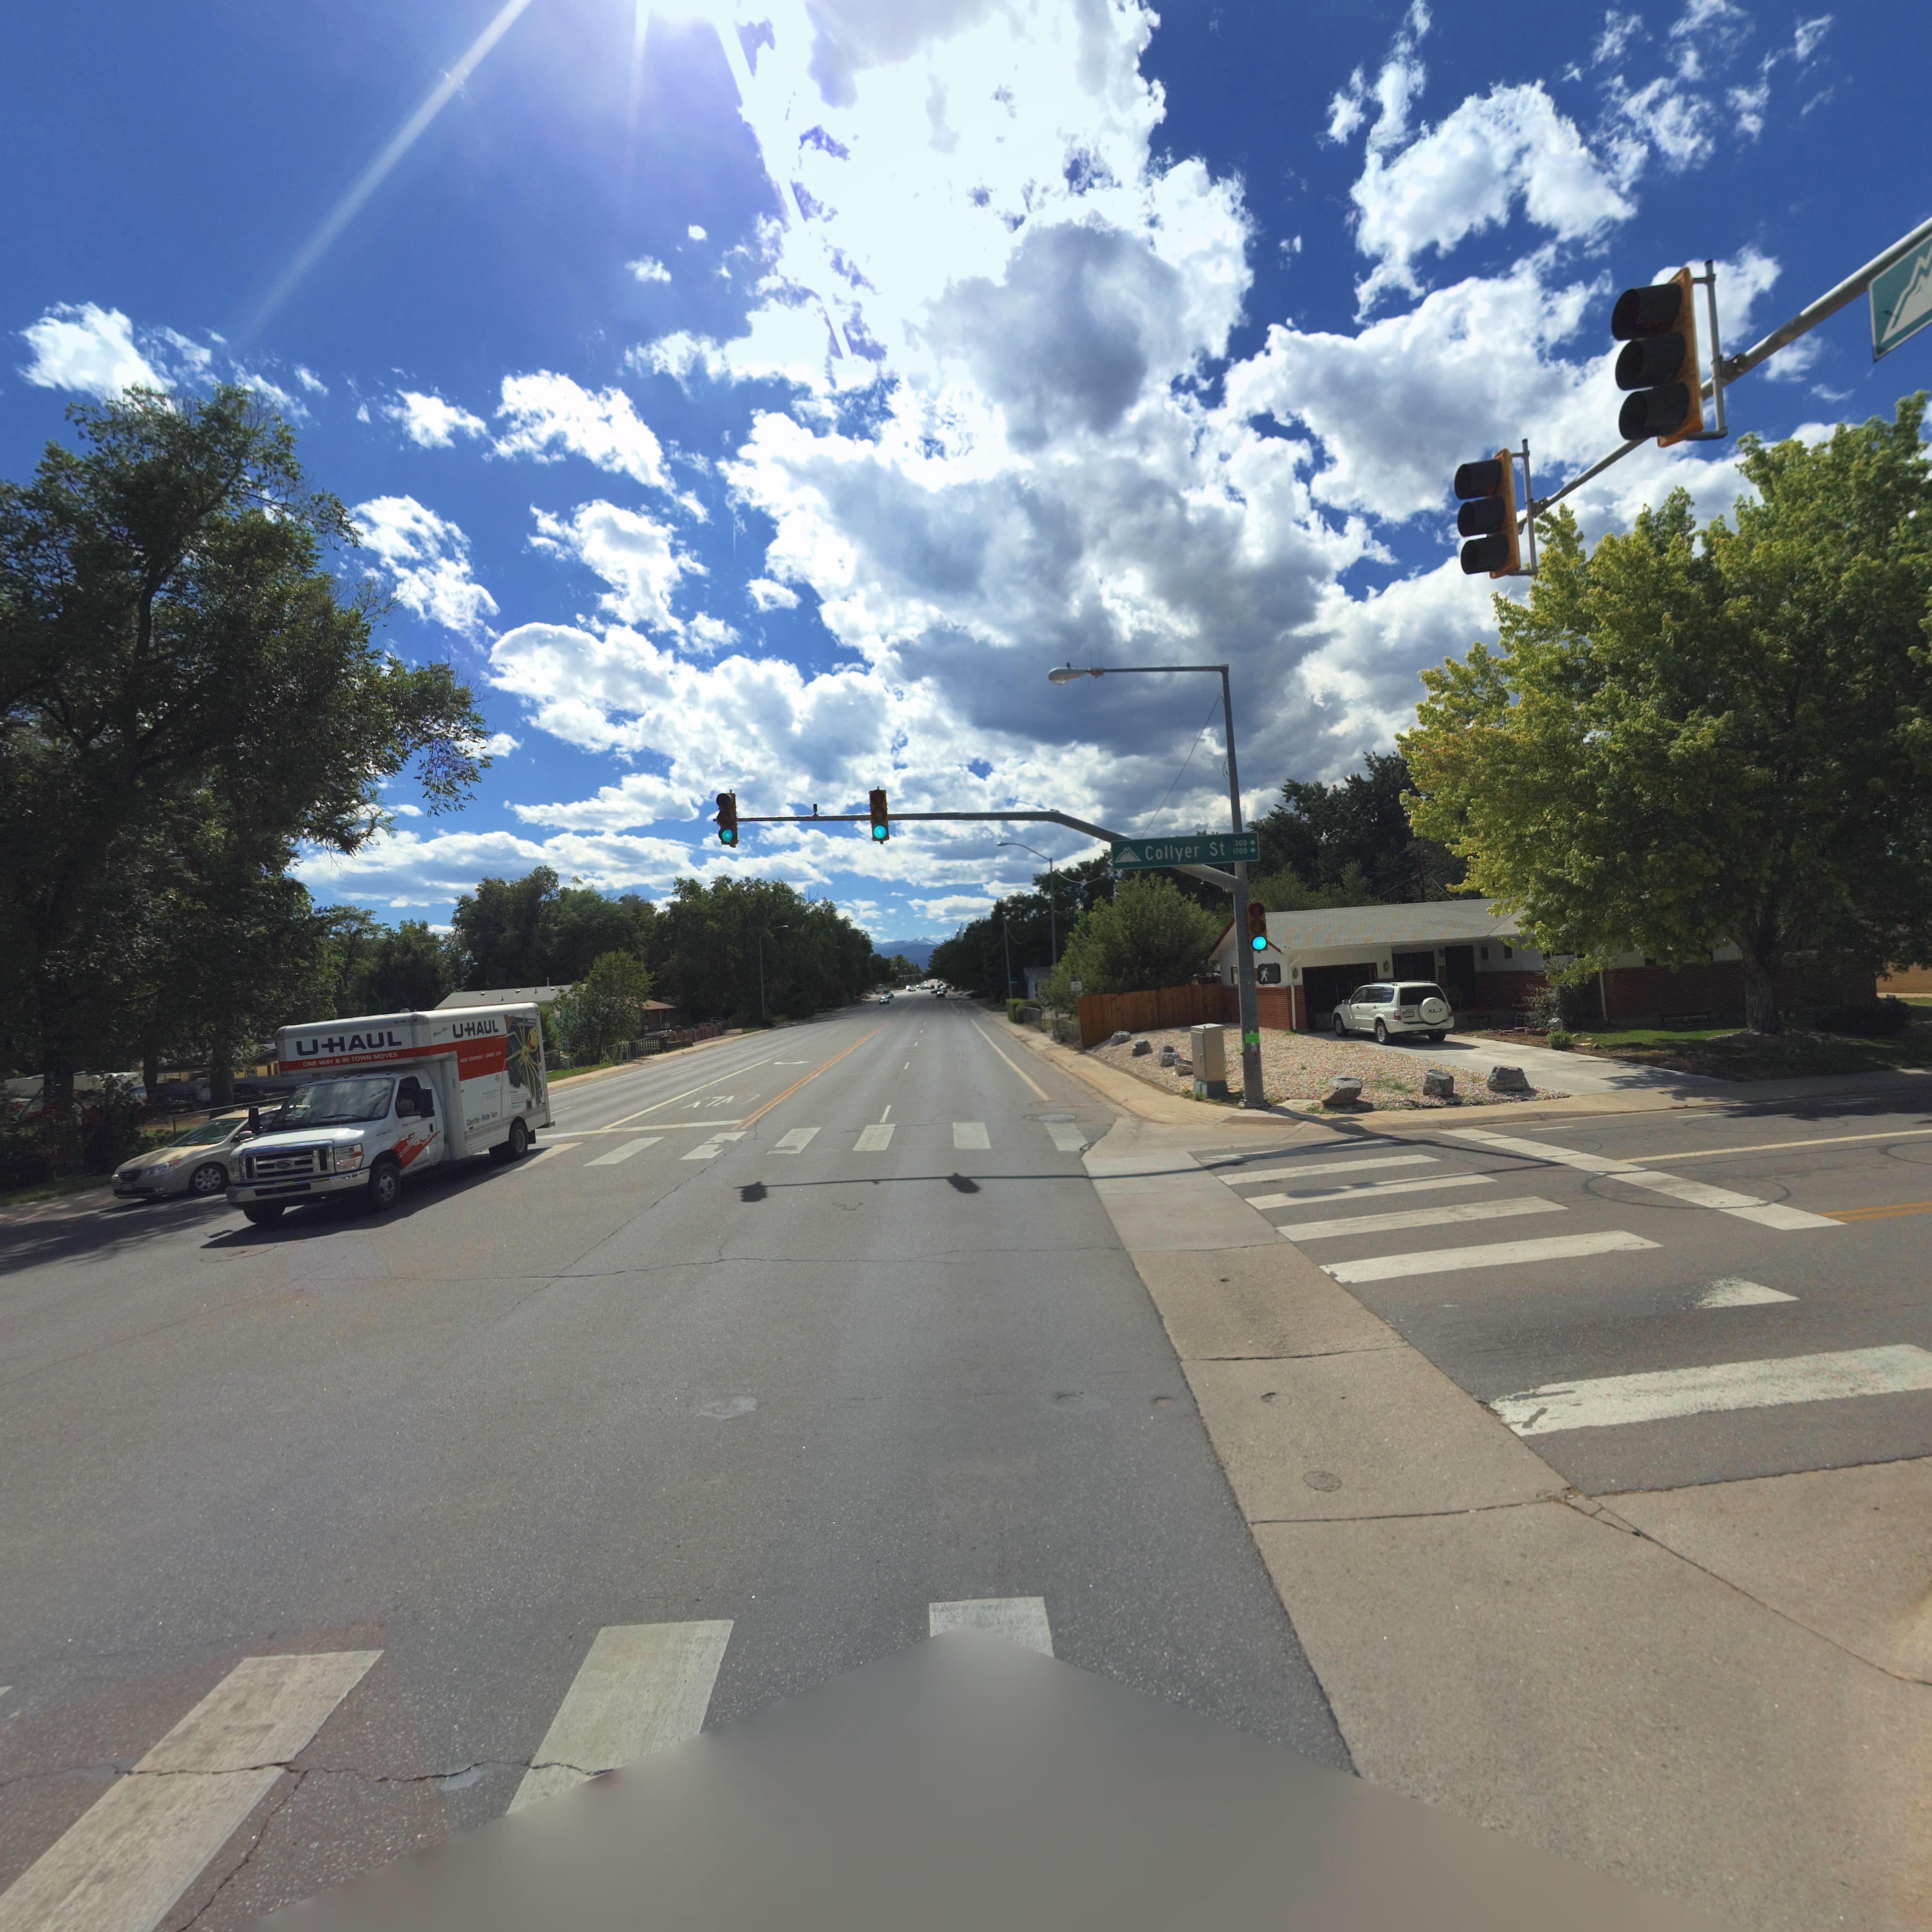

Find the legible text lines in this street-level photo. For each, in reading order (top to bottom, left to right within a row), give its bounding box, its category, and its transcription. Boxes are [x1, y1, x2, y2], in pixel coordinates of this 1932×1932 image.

[1234, 839, 1247, 846] StreetNumberRange: 300
[1145, 841, 1225, 862] StreetName: Collyer St
[1233, 847, 1256, 854] StreetNumberRange: 1700->